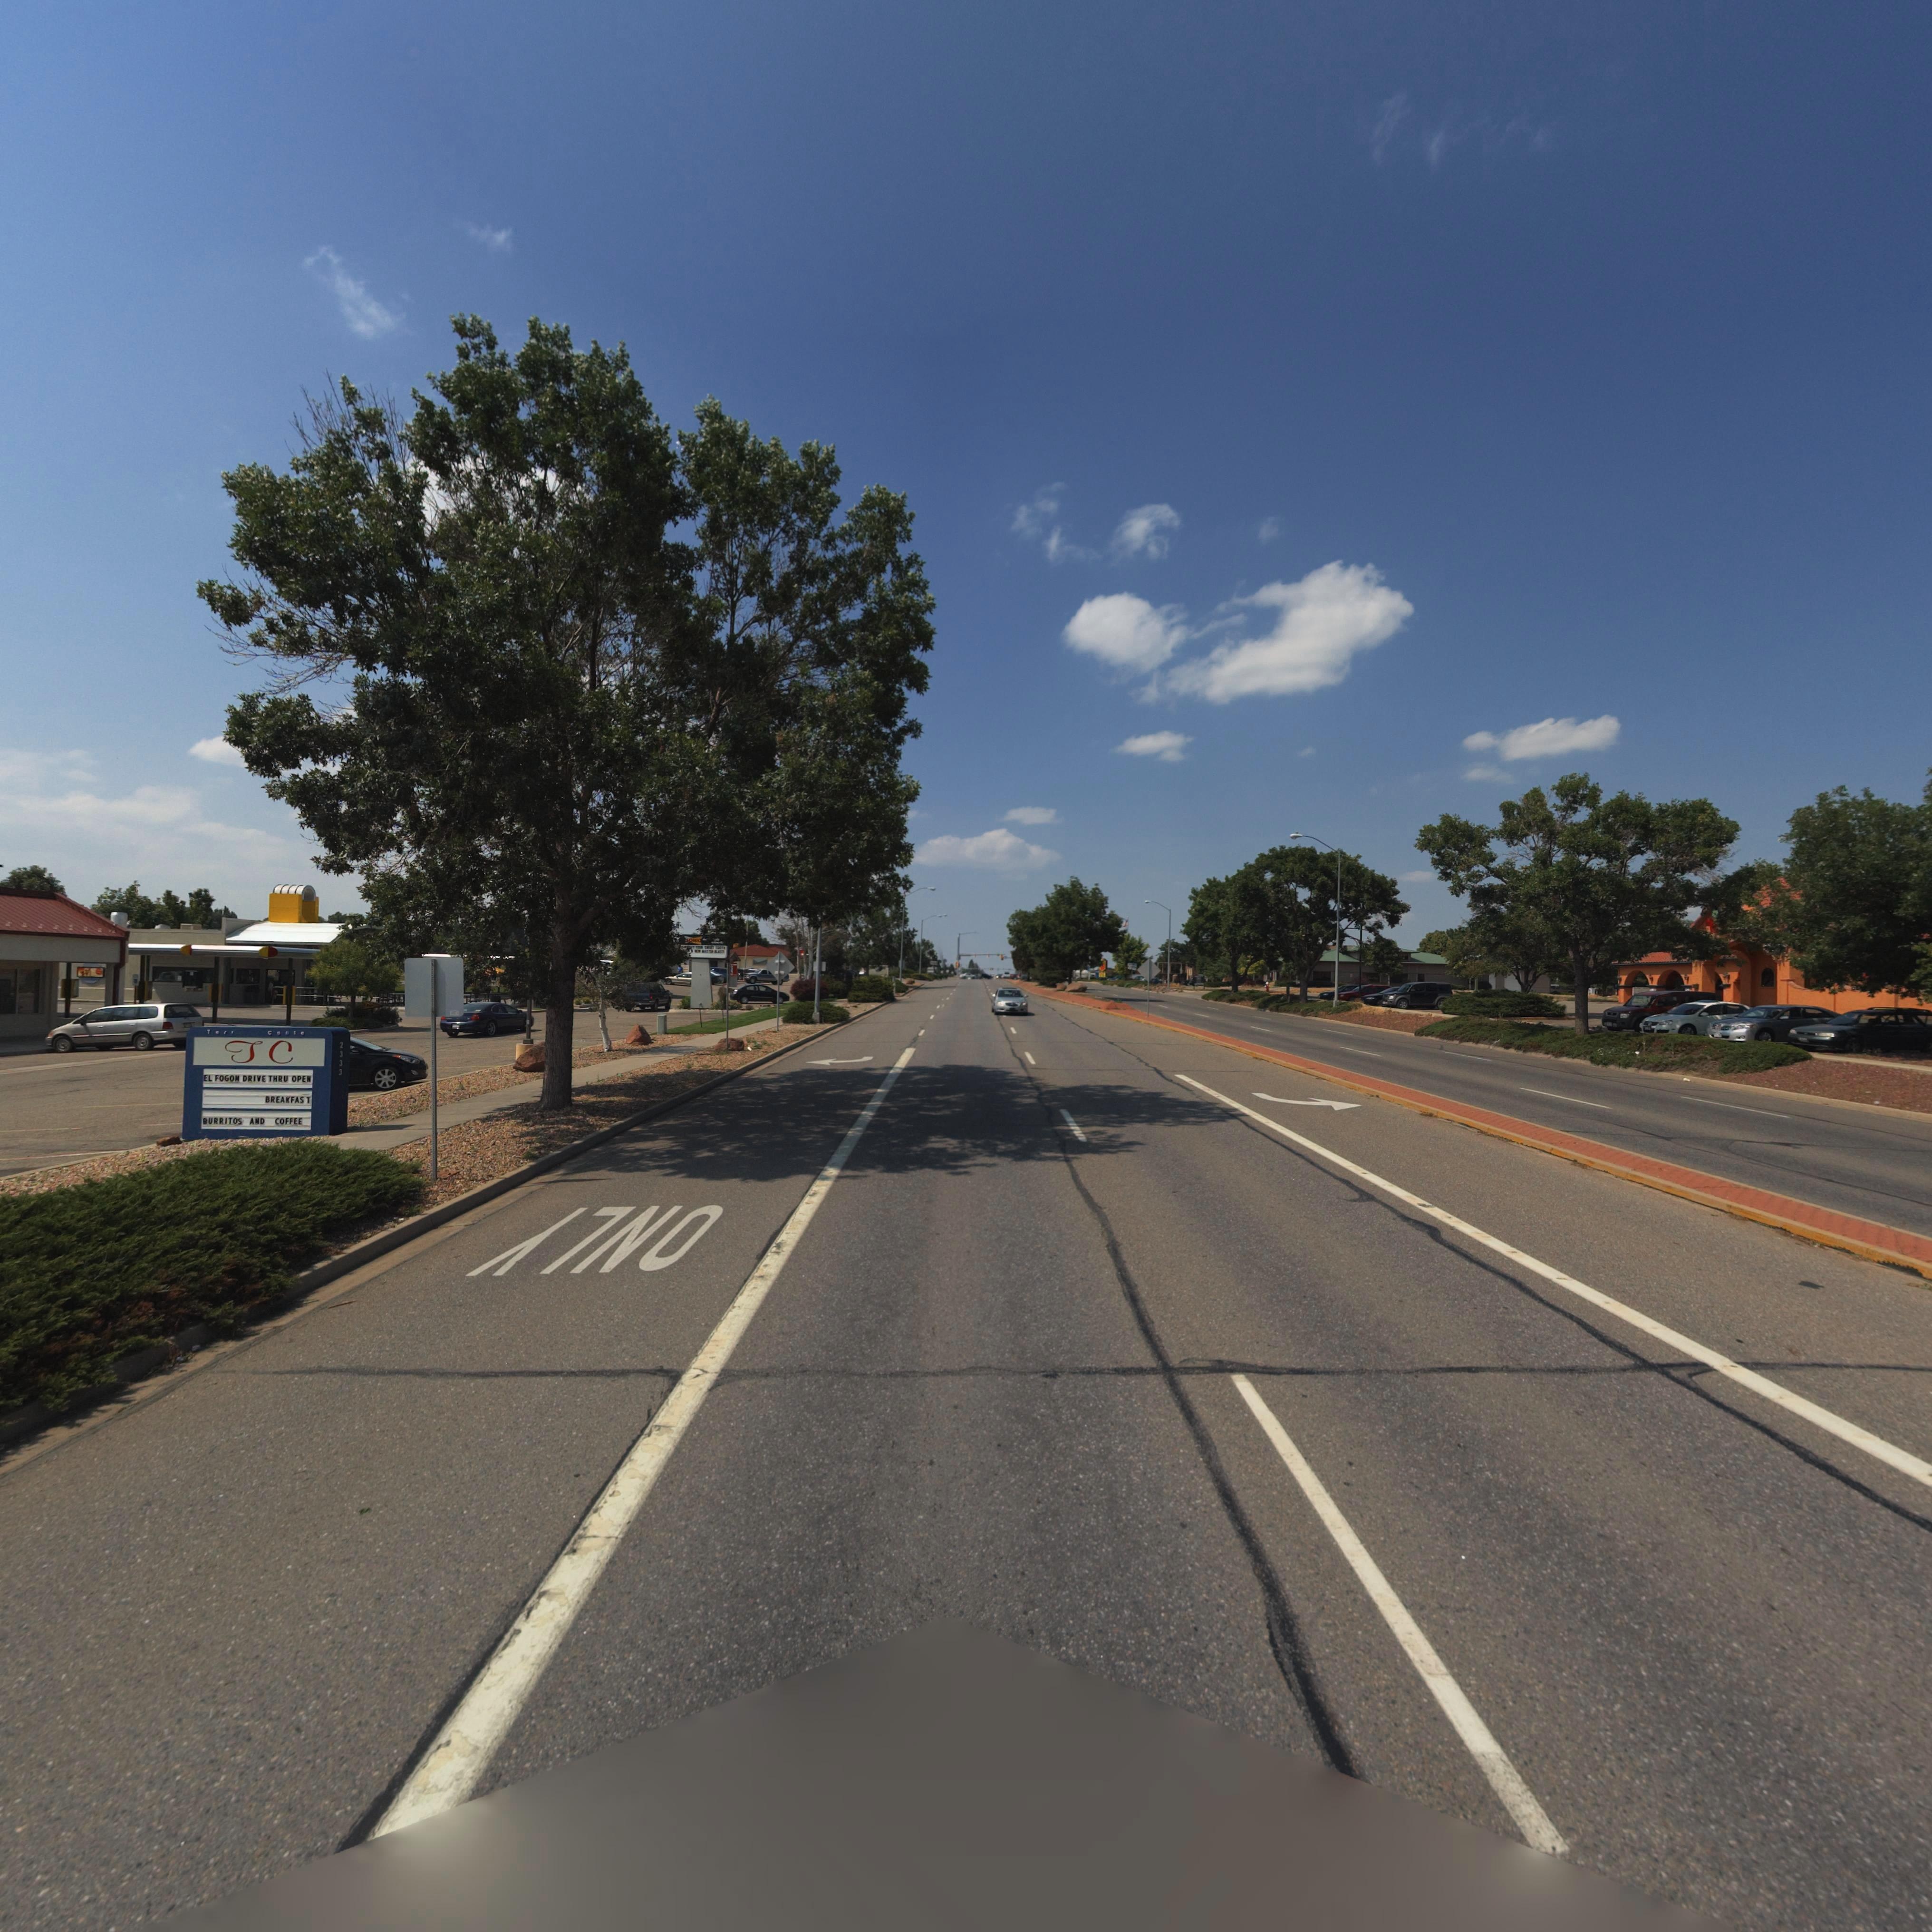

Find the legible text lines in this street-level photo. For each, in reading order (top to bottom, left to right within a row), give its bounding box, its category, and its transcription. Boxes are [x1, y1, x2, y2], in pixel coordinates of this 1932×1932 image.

[685, 938, 701, 942] BusinessName: SONIC